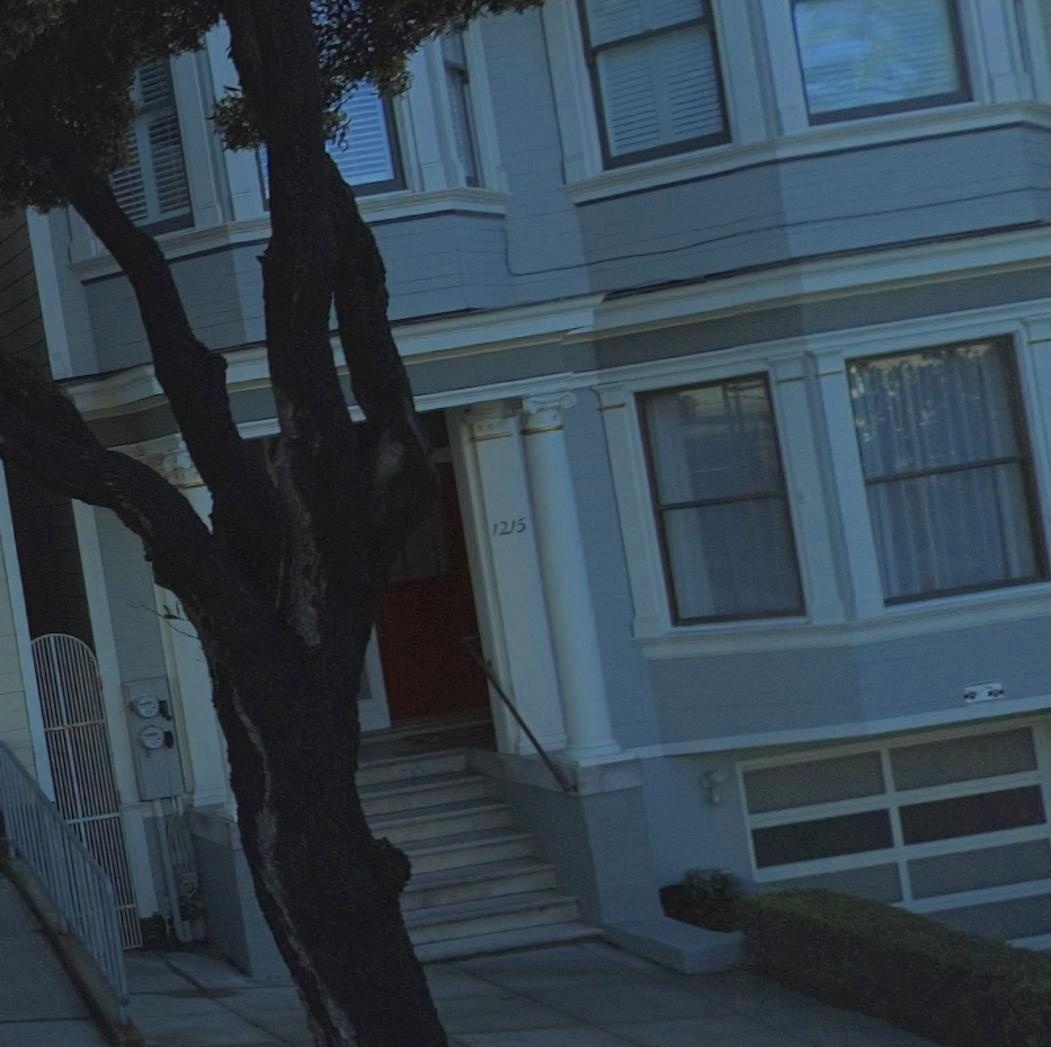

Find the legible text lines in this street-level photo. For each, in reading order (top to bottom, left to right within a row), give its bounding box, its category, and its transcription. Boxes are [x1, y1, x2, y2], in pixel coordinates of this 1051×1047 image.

[489, 514, 530, 539] StreetNumber: 1215